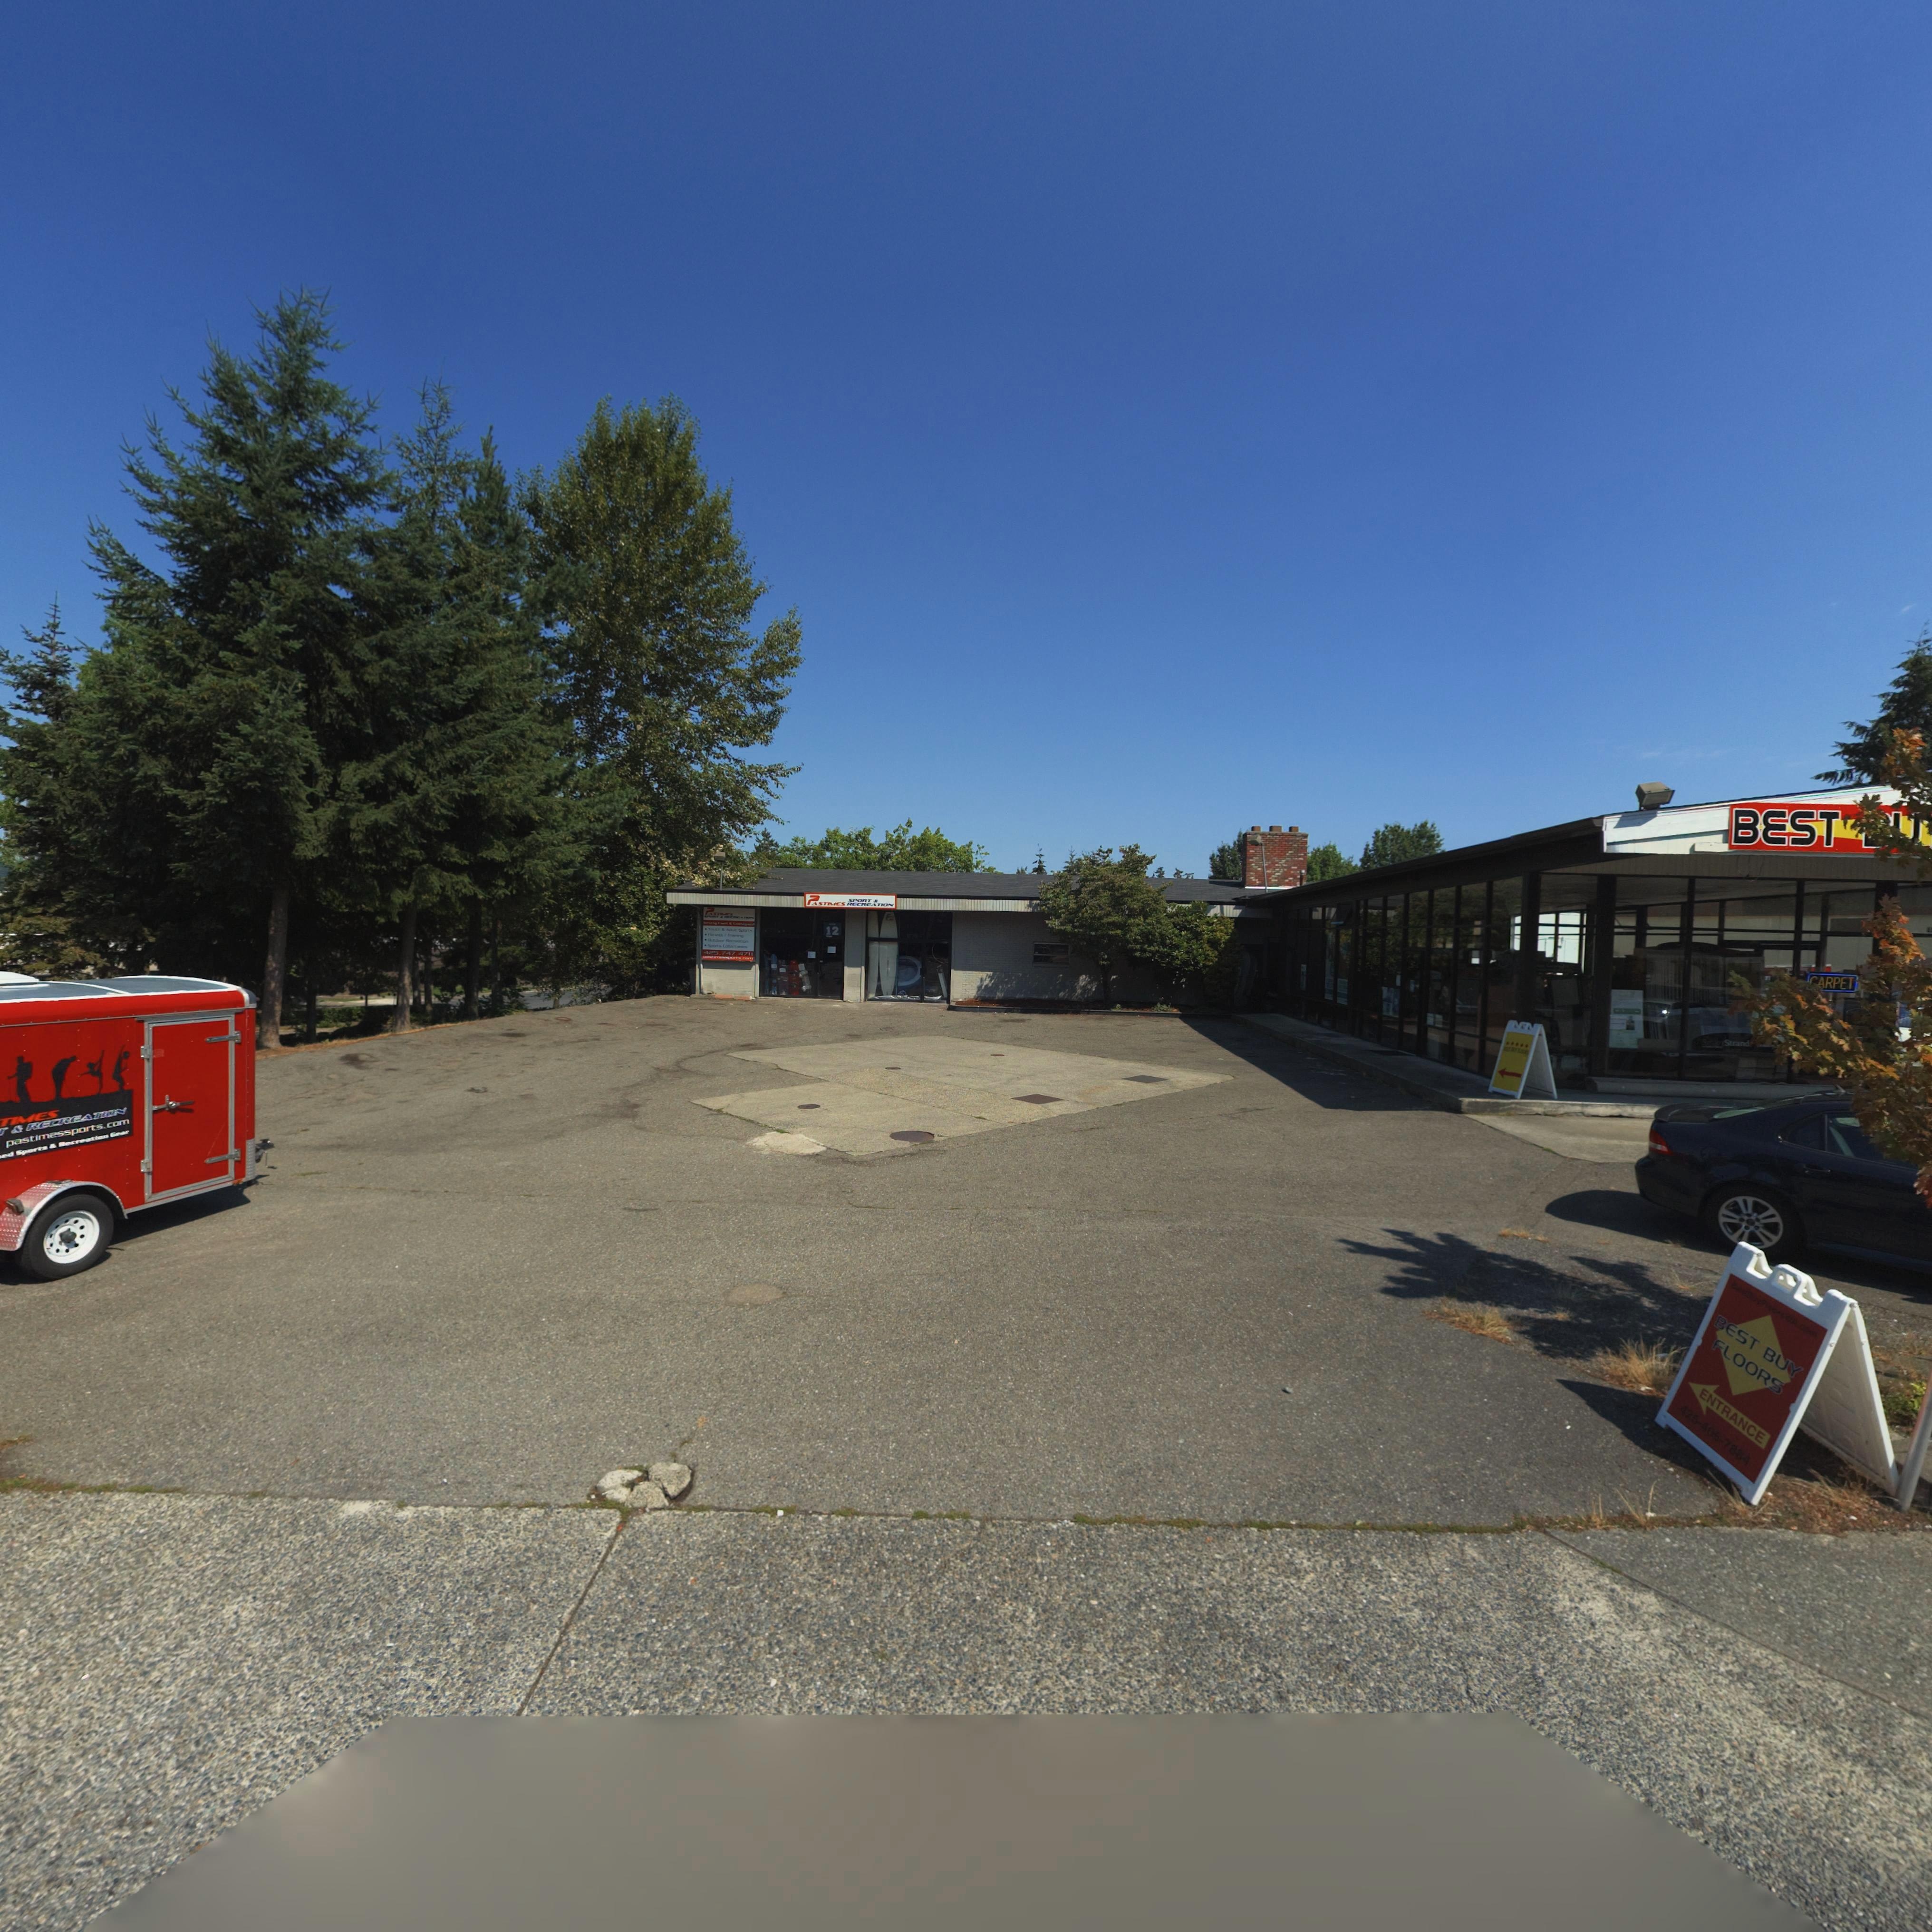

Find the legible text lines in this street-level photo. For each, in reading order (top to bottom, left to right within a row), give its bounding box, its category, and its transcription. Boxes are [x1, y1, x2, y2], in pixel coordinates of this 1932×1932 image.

[1733, 810, 1838, 847] BusinessName: BEST
[848, 898, 872, 902] BusinessName: SPORT
[807, 901, 845, 906] BusinessName: *ASTIMES
[846, 902, 894, 907] BusinessName: R*CREATION